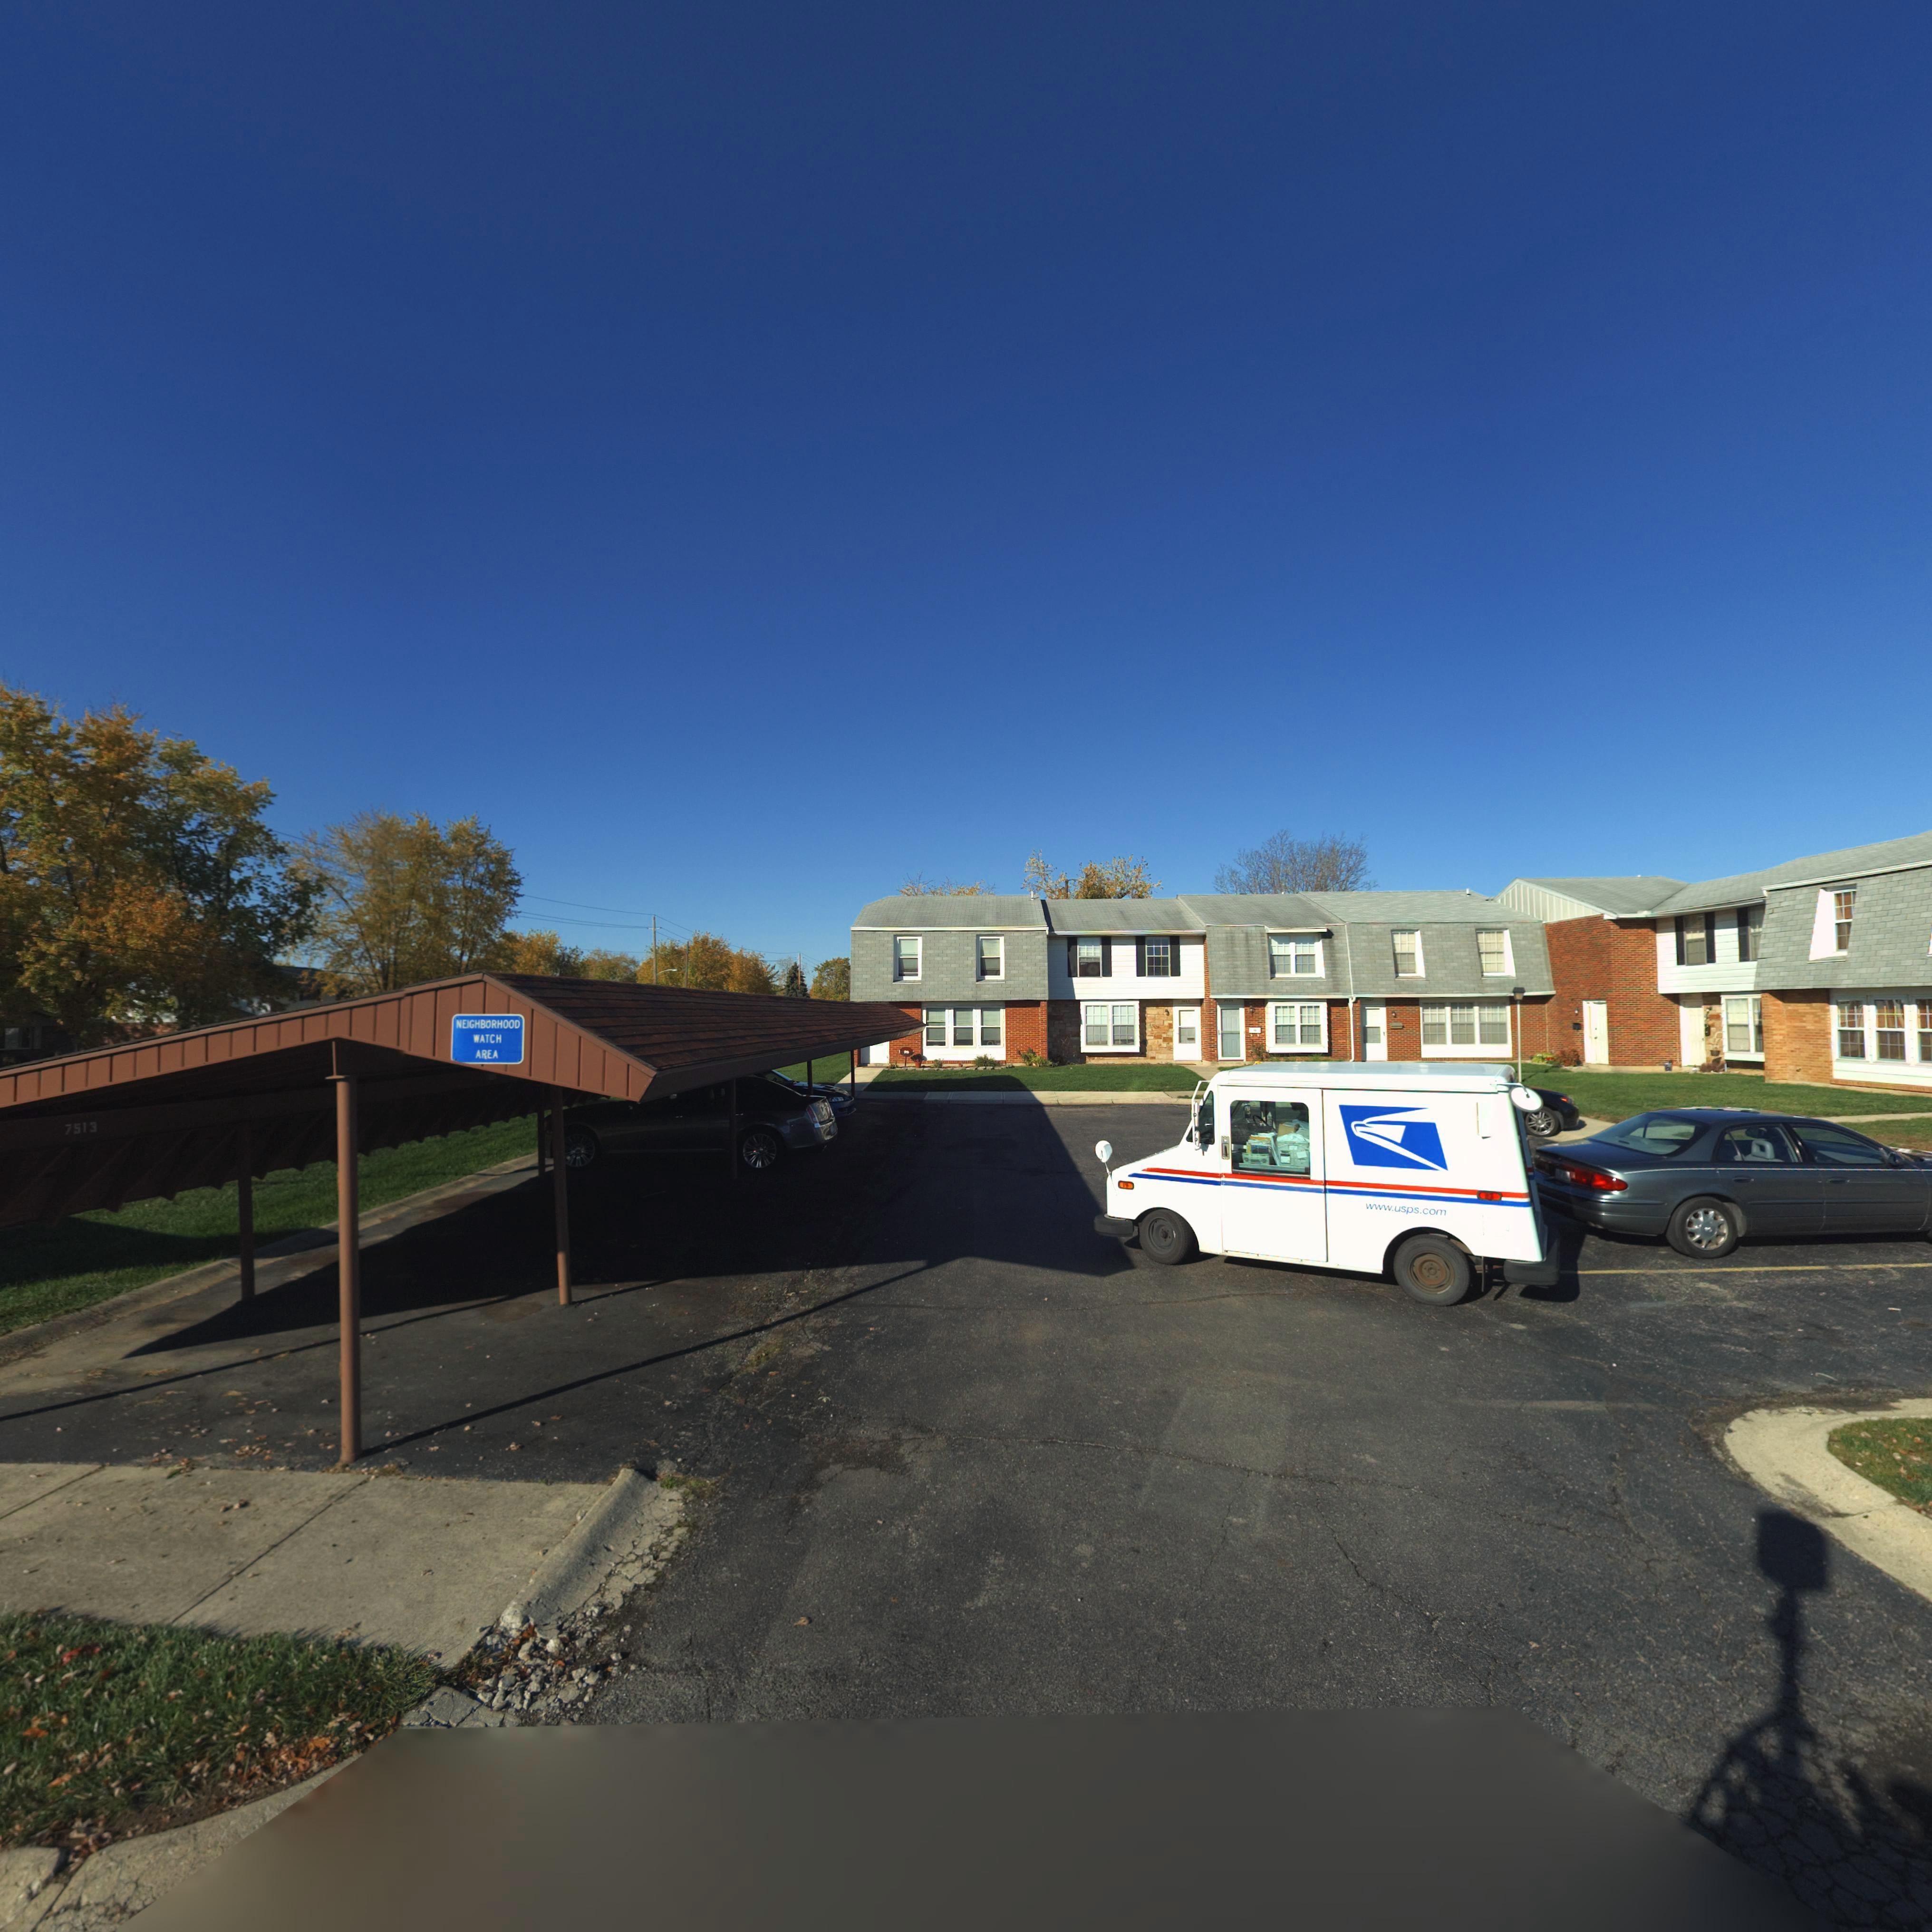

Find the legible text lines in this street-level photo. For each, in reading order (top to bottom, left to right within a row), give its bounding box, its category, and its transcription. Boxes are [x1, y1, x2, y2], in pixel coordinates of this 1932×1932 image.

[1181, 1000, 1190, 1003] StreetNumber: ***3
[1224, 999, 1233, 1003] StreetNumber: 7***
[1365, 998, 1374, 1002] StreetNumber: 75**
[64, 1121, 98, 1136] StreetNumber: 7513